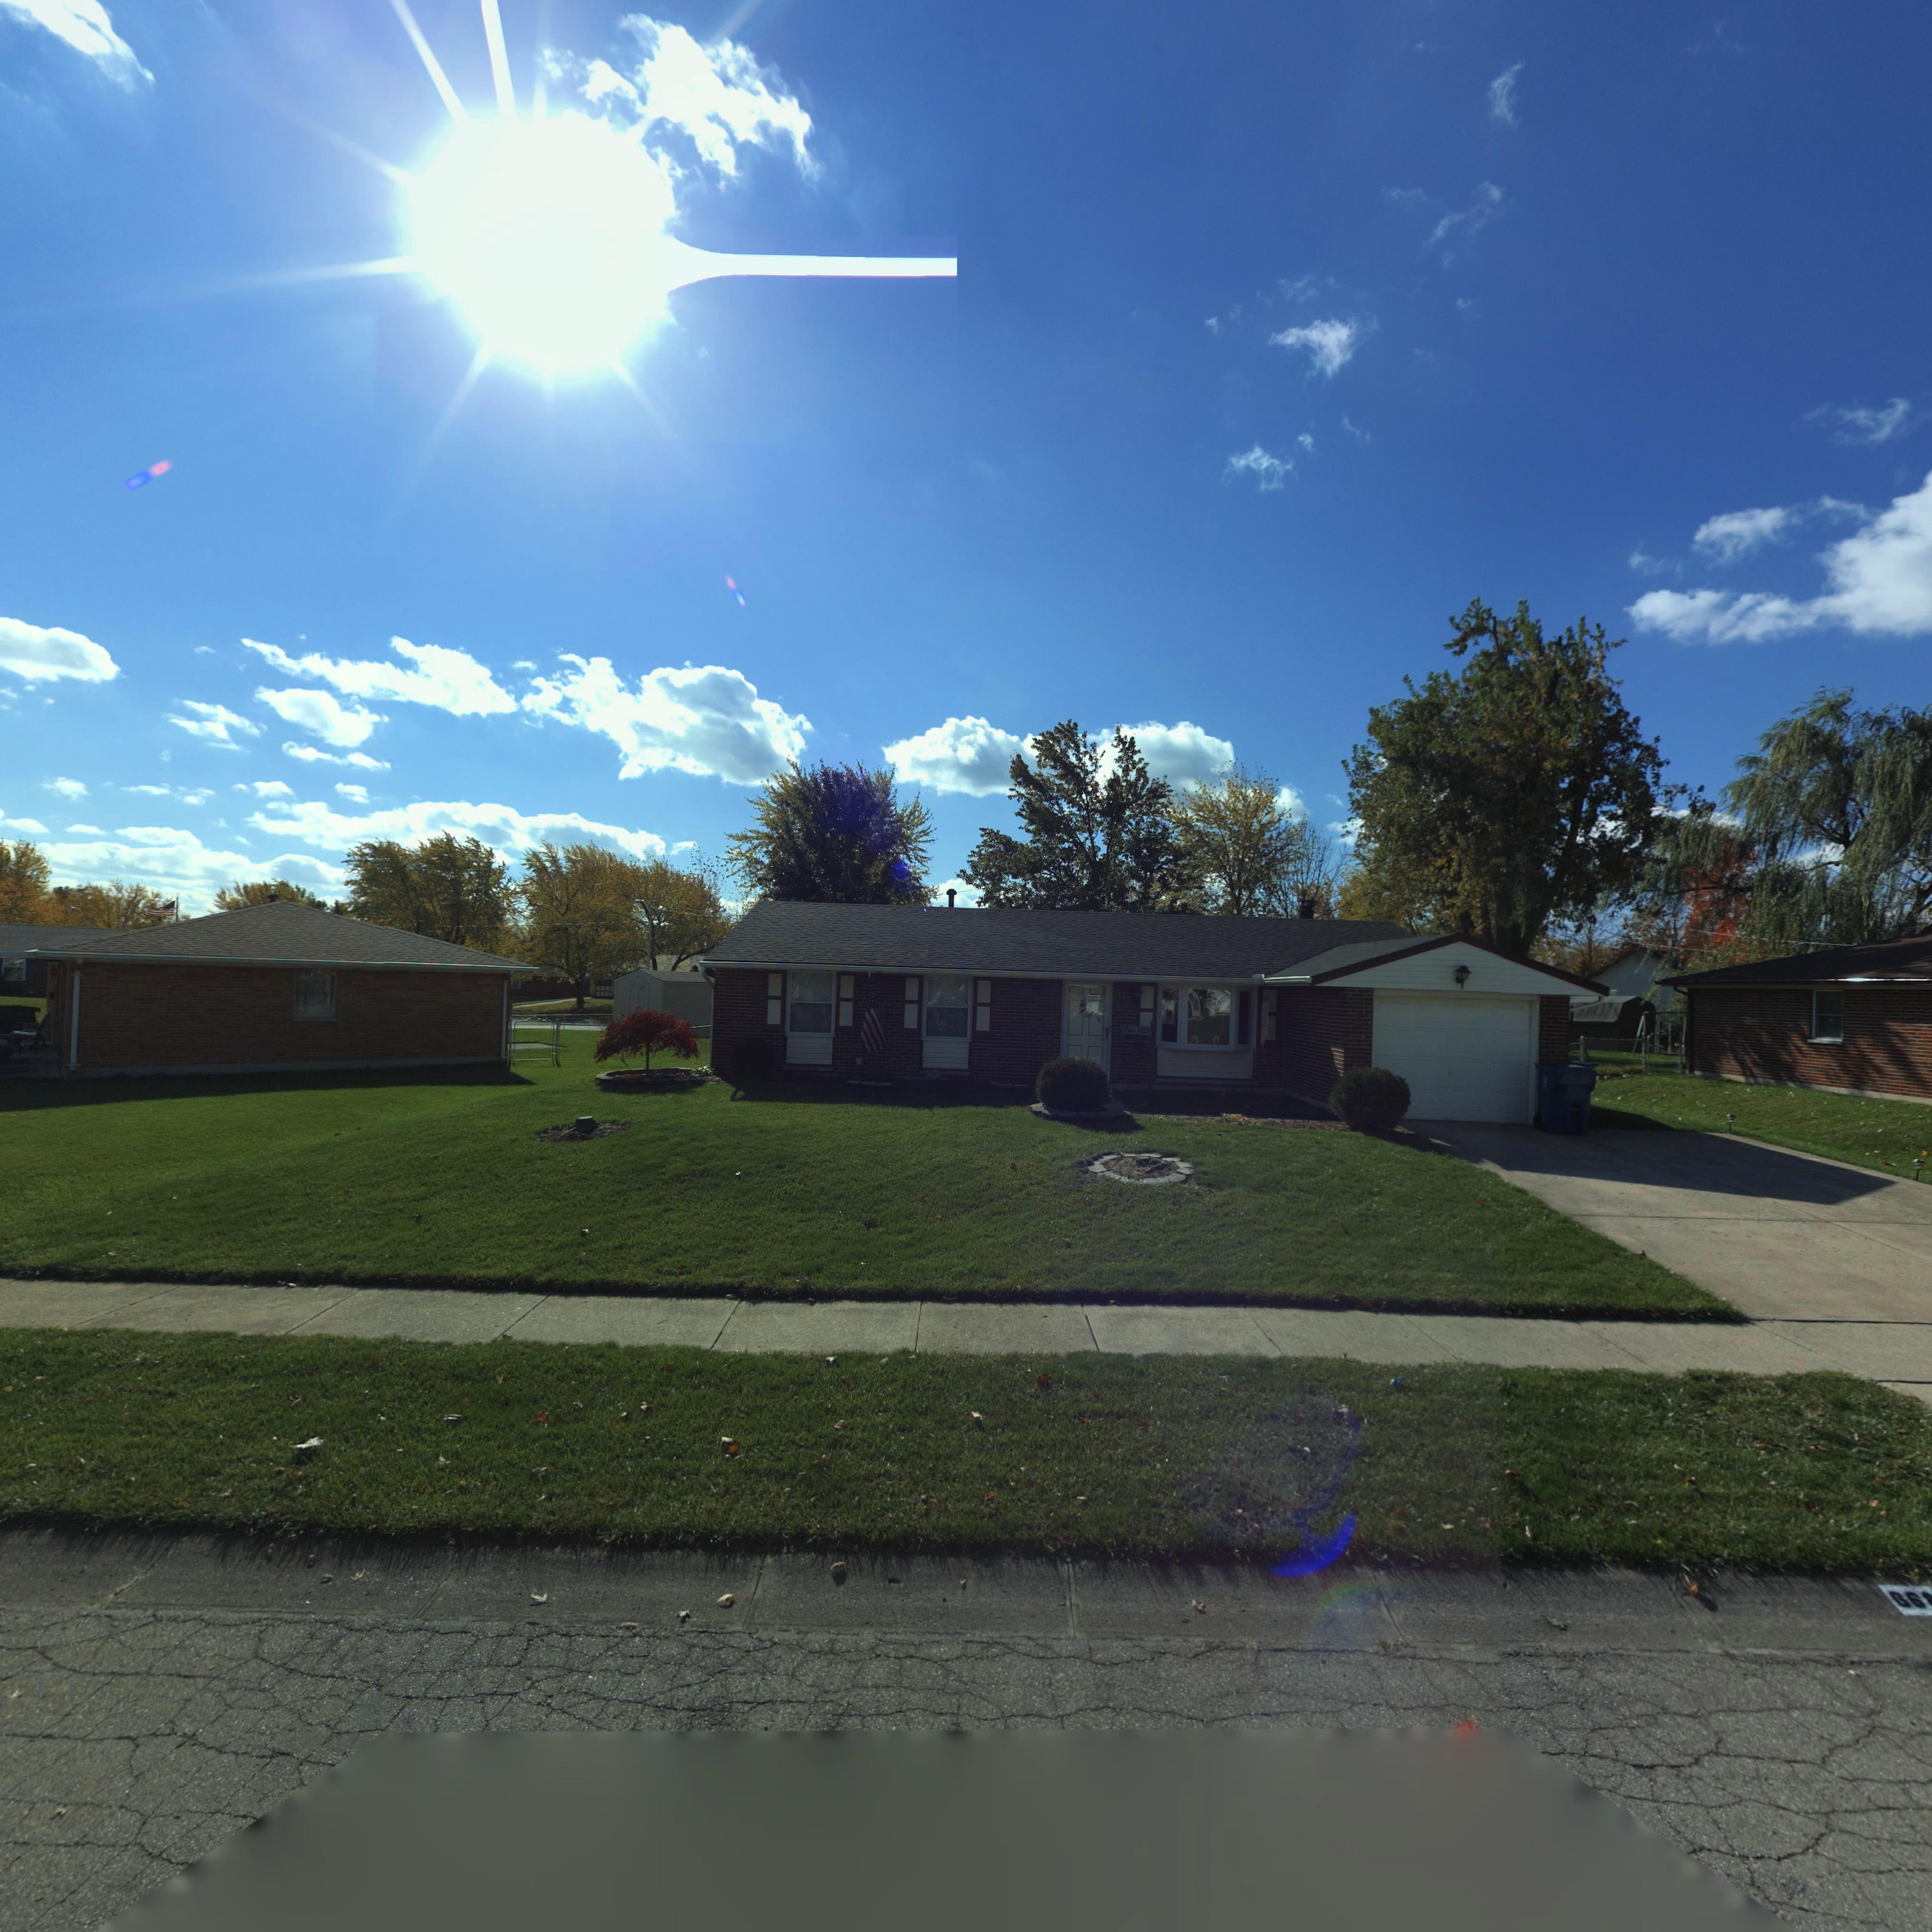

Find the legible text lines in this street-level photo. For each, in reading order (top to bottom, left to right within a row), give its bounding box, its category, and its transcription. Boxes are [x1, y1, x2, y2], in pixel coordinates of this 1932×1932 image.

[1887, 1590, 1927, 1609] StreetNumber: 66